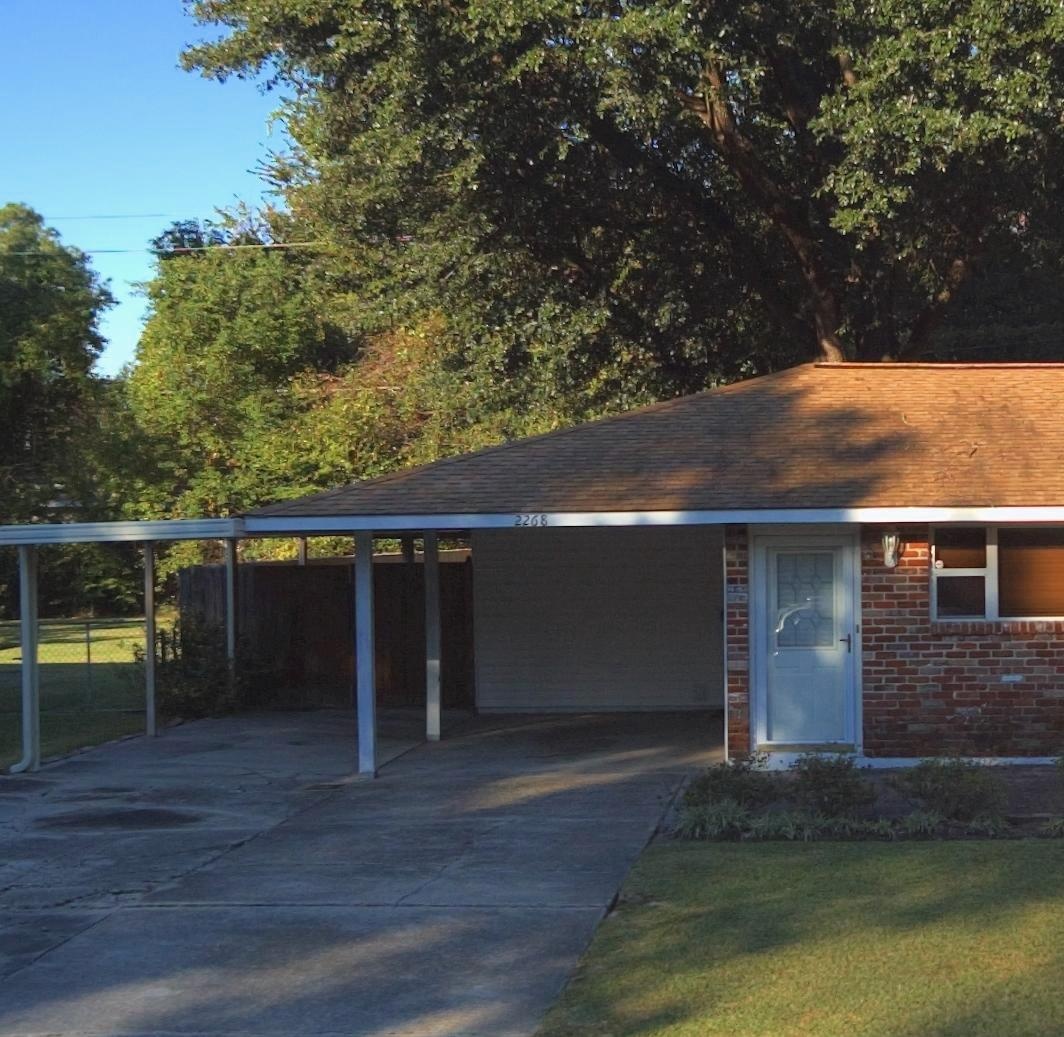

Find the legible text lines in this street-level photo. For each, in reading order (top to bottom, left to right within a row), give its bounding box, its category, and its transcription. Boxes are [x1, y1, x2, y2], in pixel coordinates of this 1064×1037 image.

[513, 513, 550, 529] StreetNumber: 2268